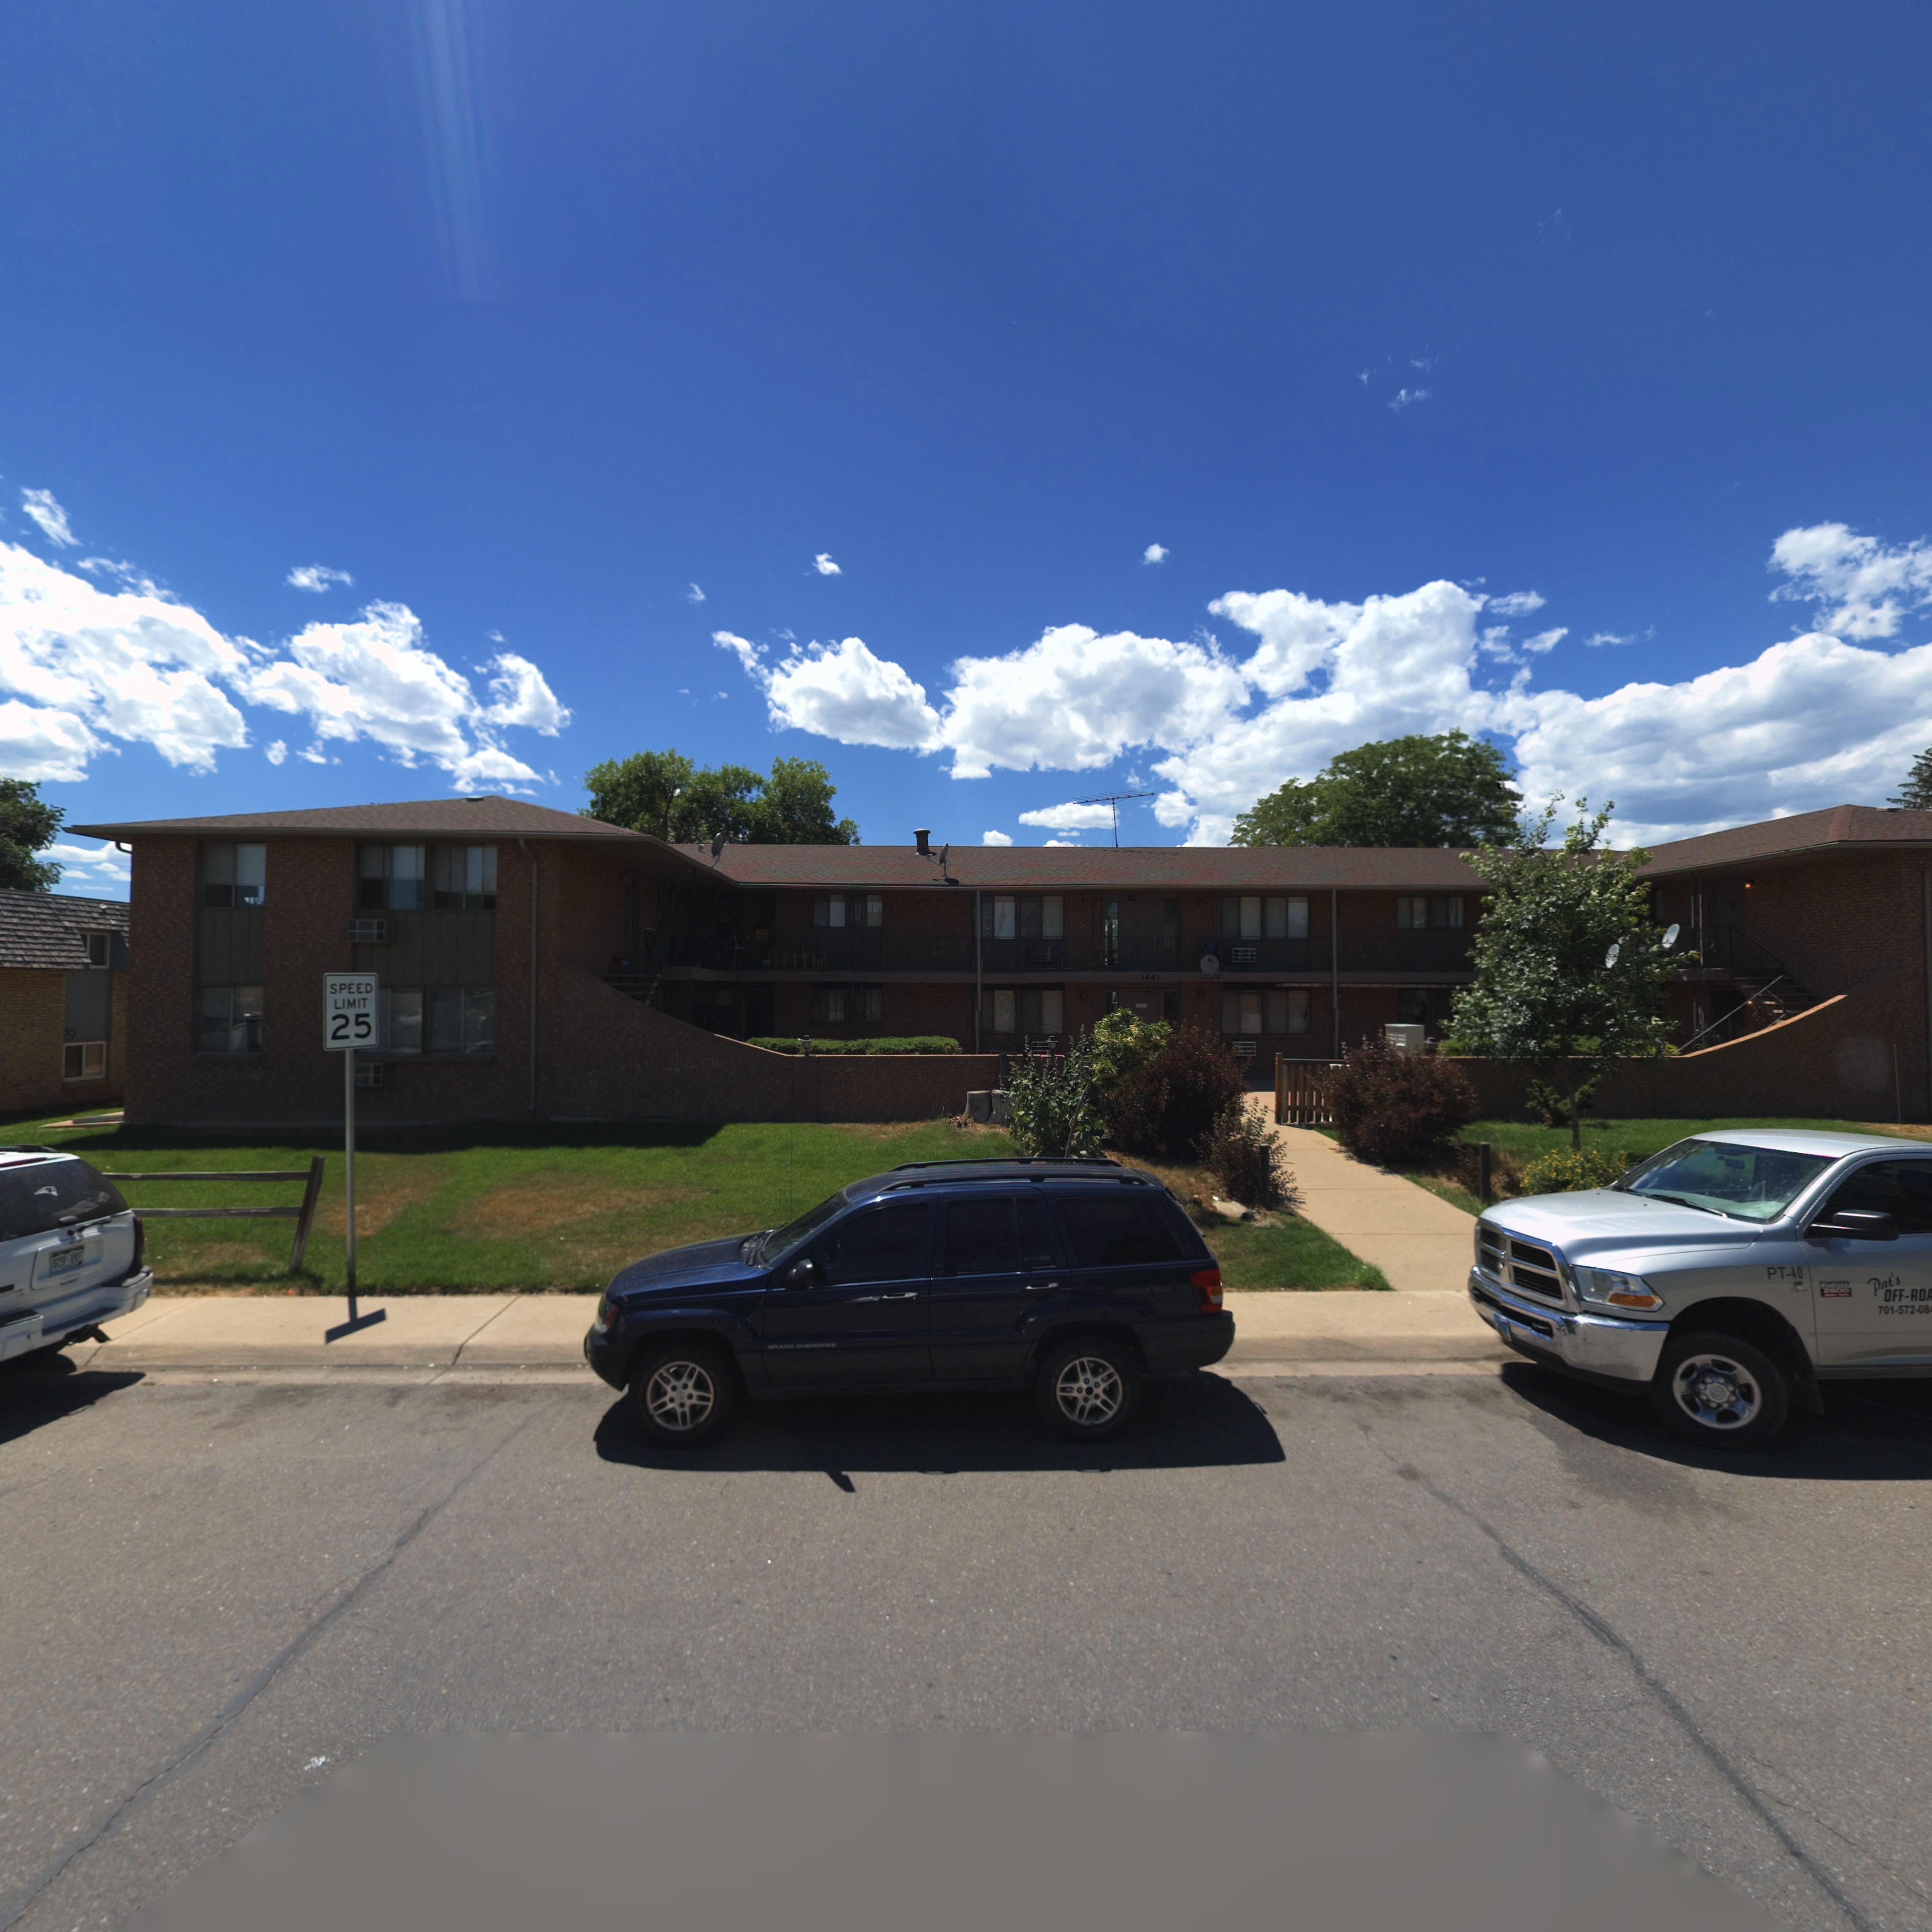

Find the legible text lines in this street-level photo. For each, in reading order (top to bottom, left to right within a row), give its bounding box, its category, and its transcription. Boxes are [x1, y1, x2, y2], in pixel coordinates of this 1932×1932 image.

[1140, 973, 1160, 981] StreetNumber: 1441